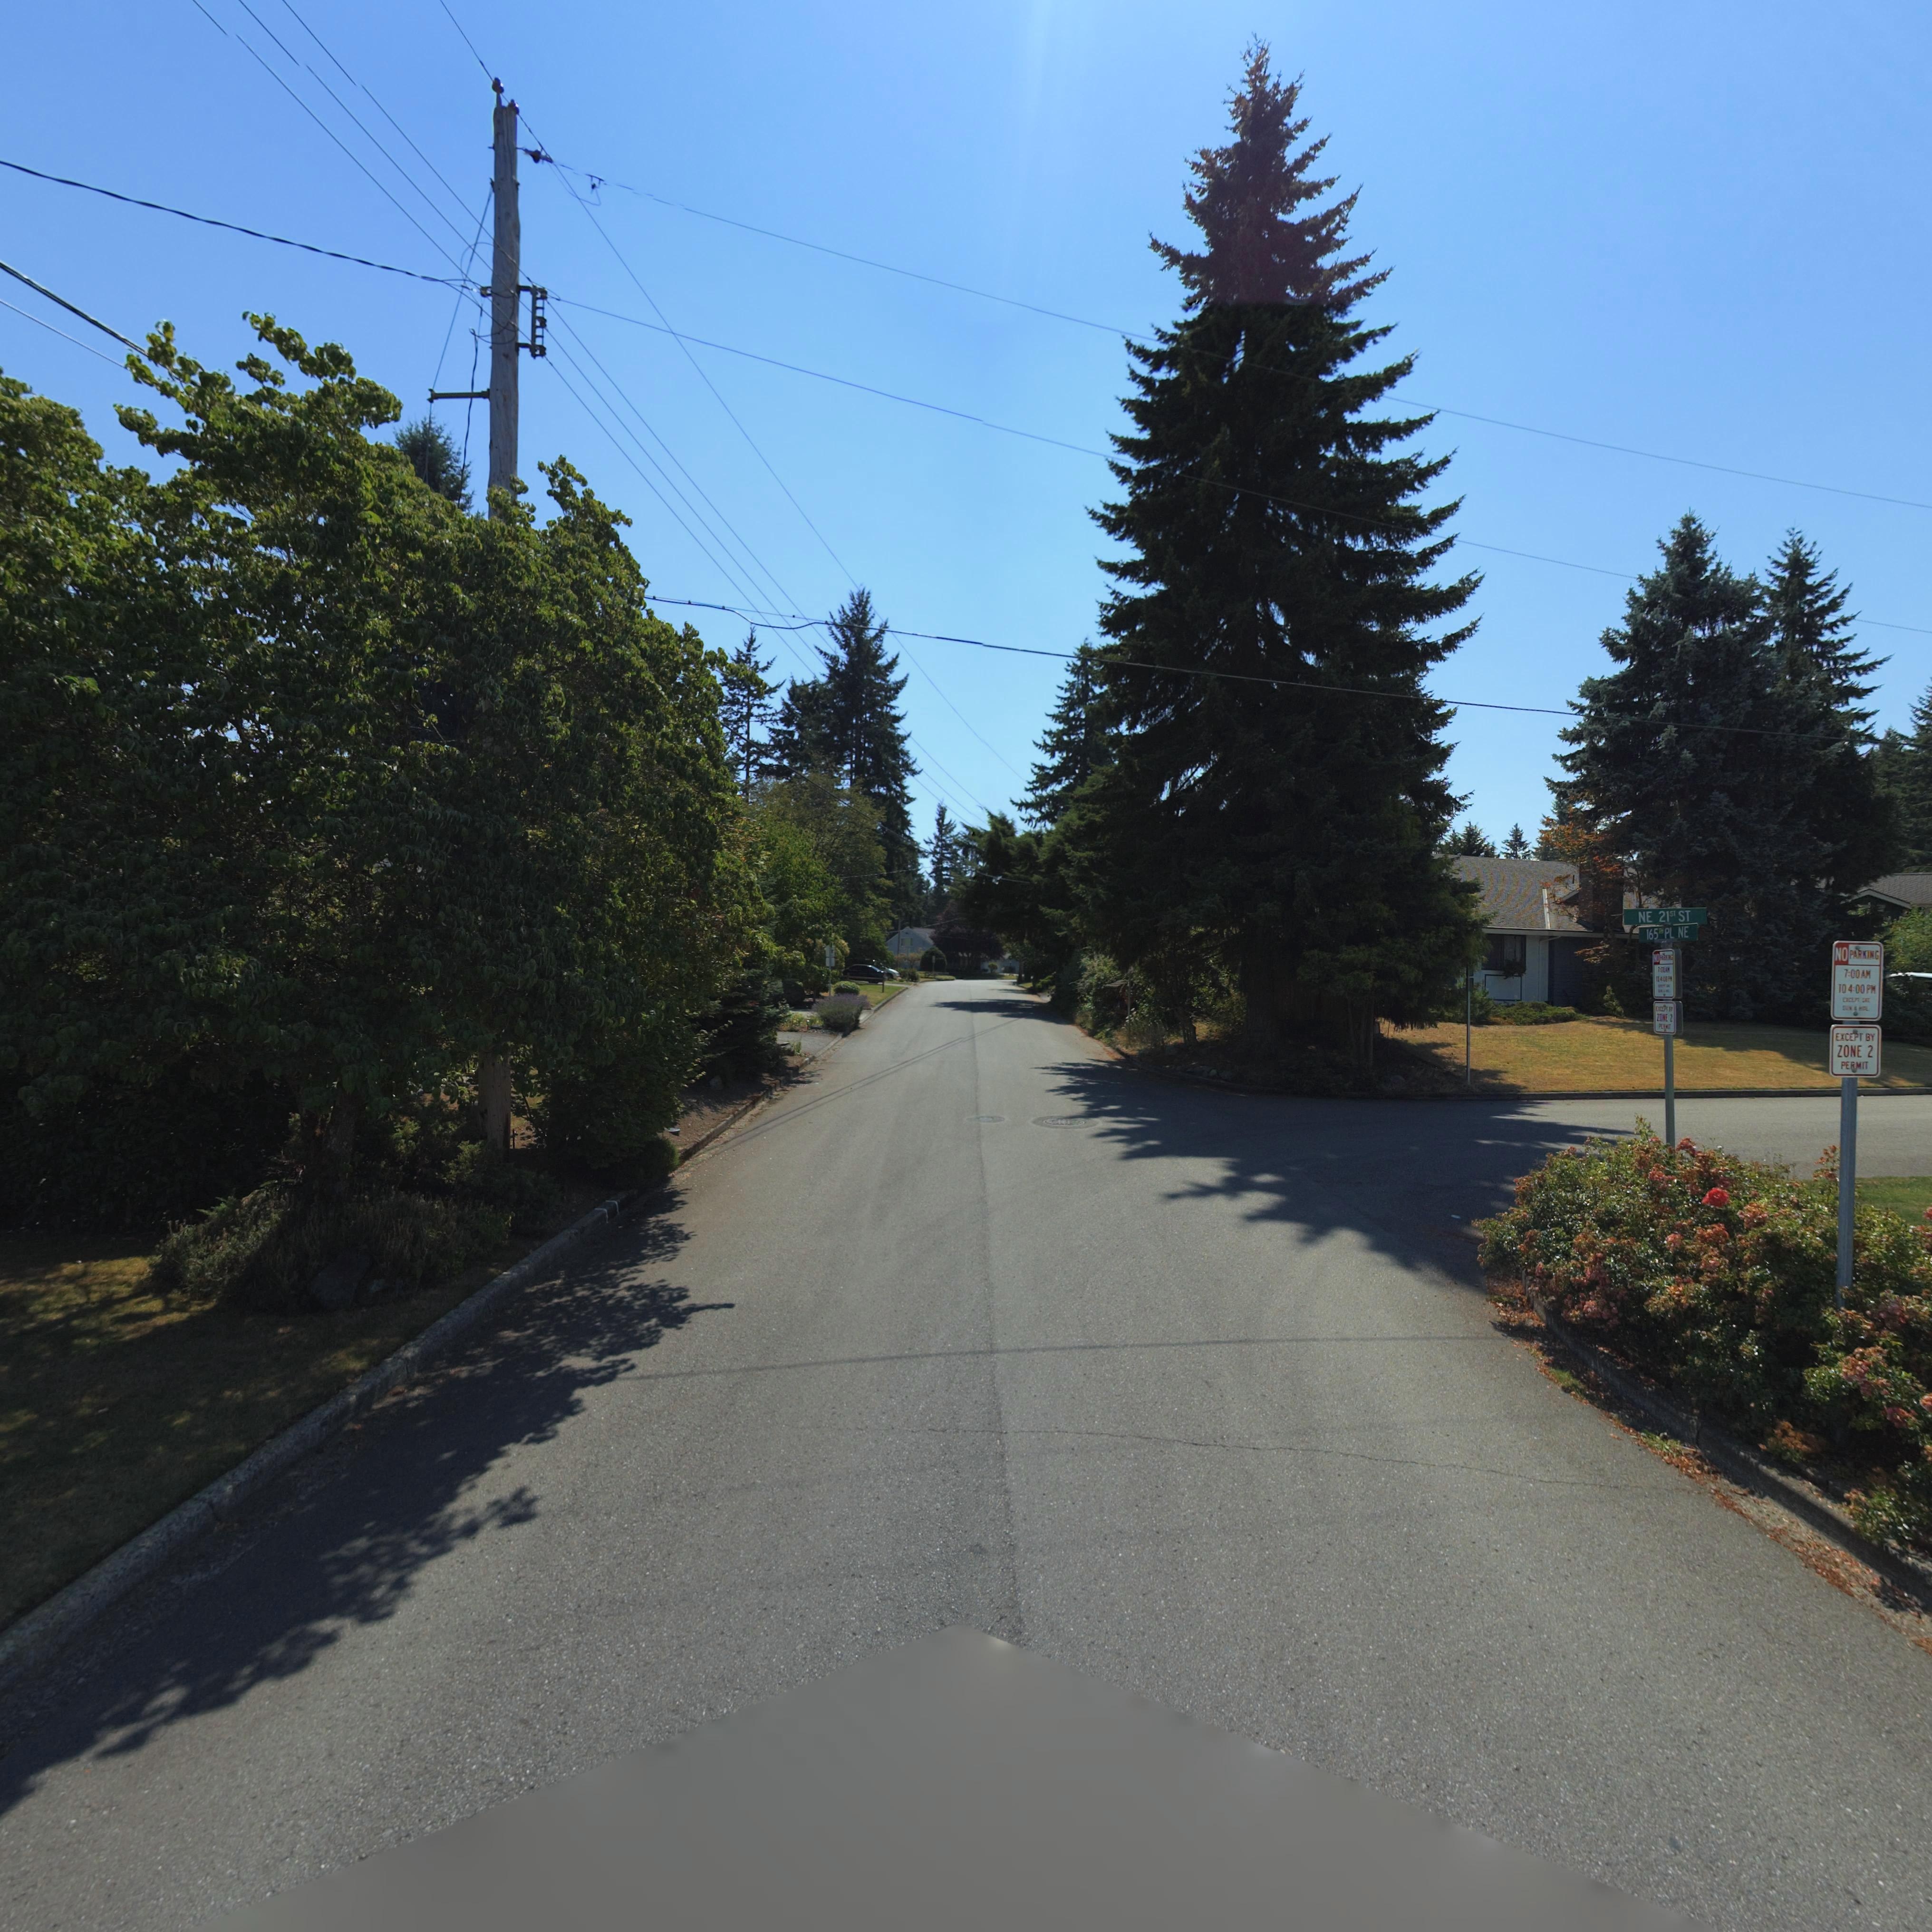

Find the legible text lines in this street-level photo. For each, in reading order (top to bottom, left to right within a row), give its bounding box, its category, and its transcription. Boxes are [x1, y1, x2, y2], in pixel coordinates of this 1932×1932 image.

[1639, 910, 1690, 922] StreetName: NE 21st ST
[1646, 926, 1689, 939] StreetName: 165*PL NE